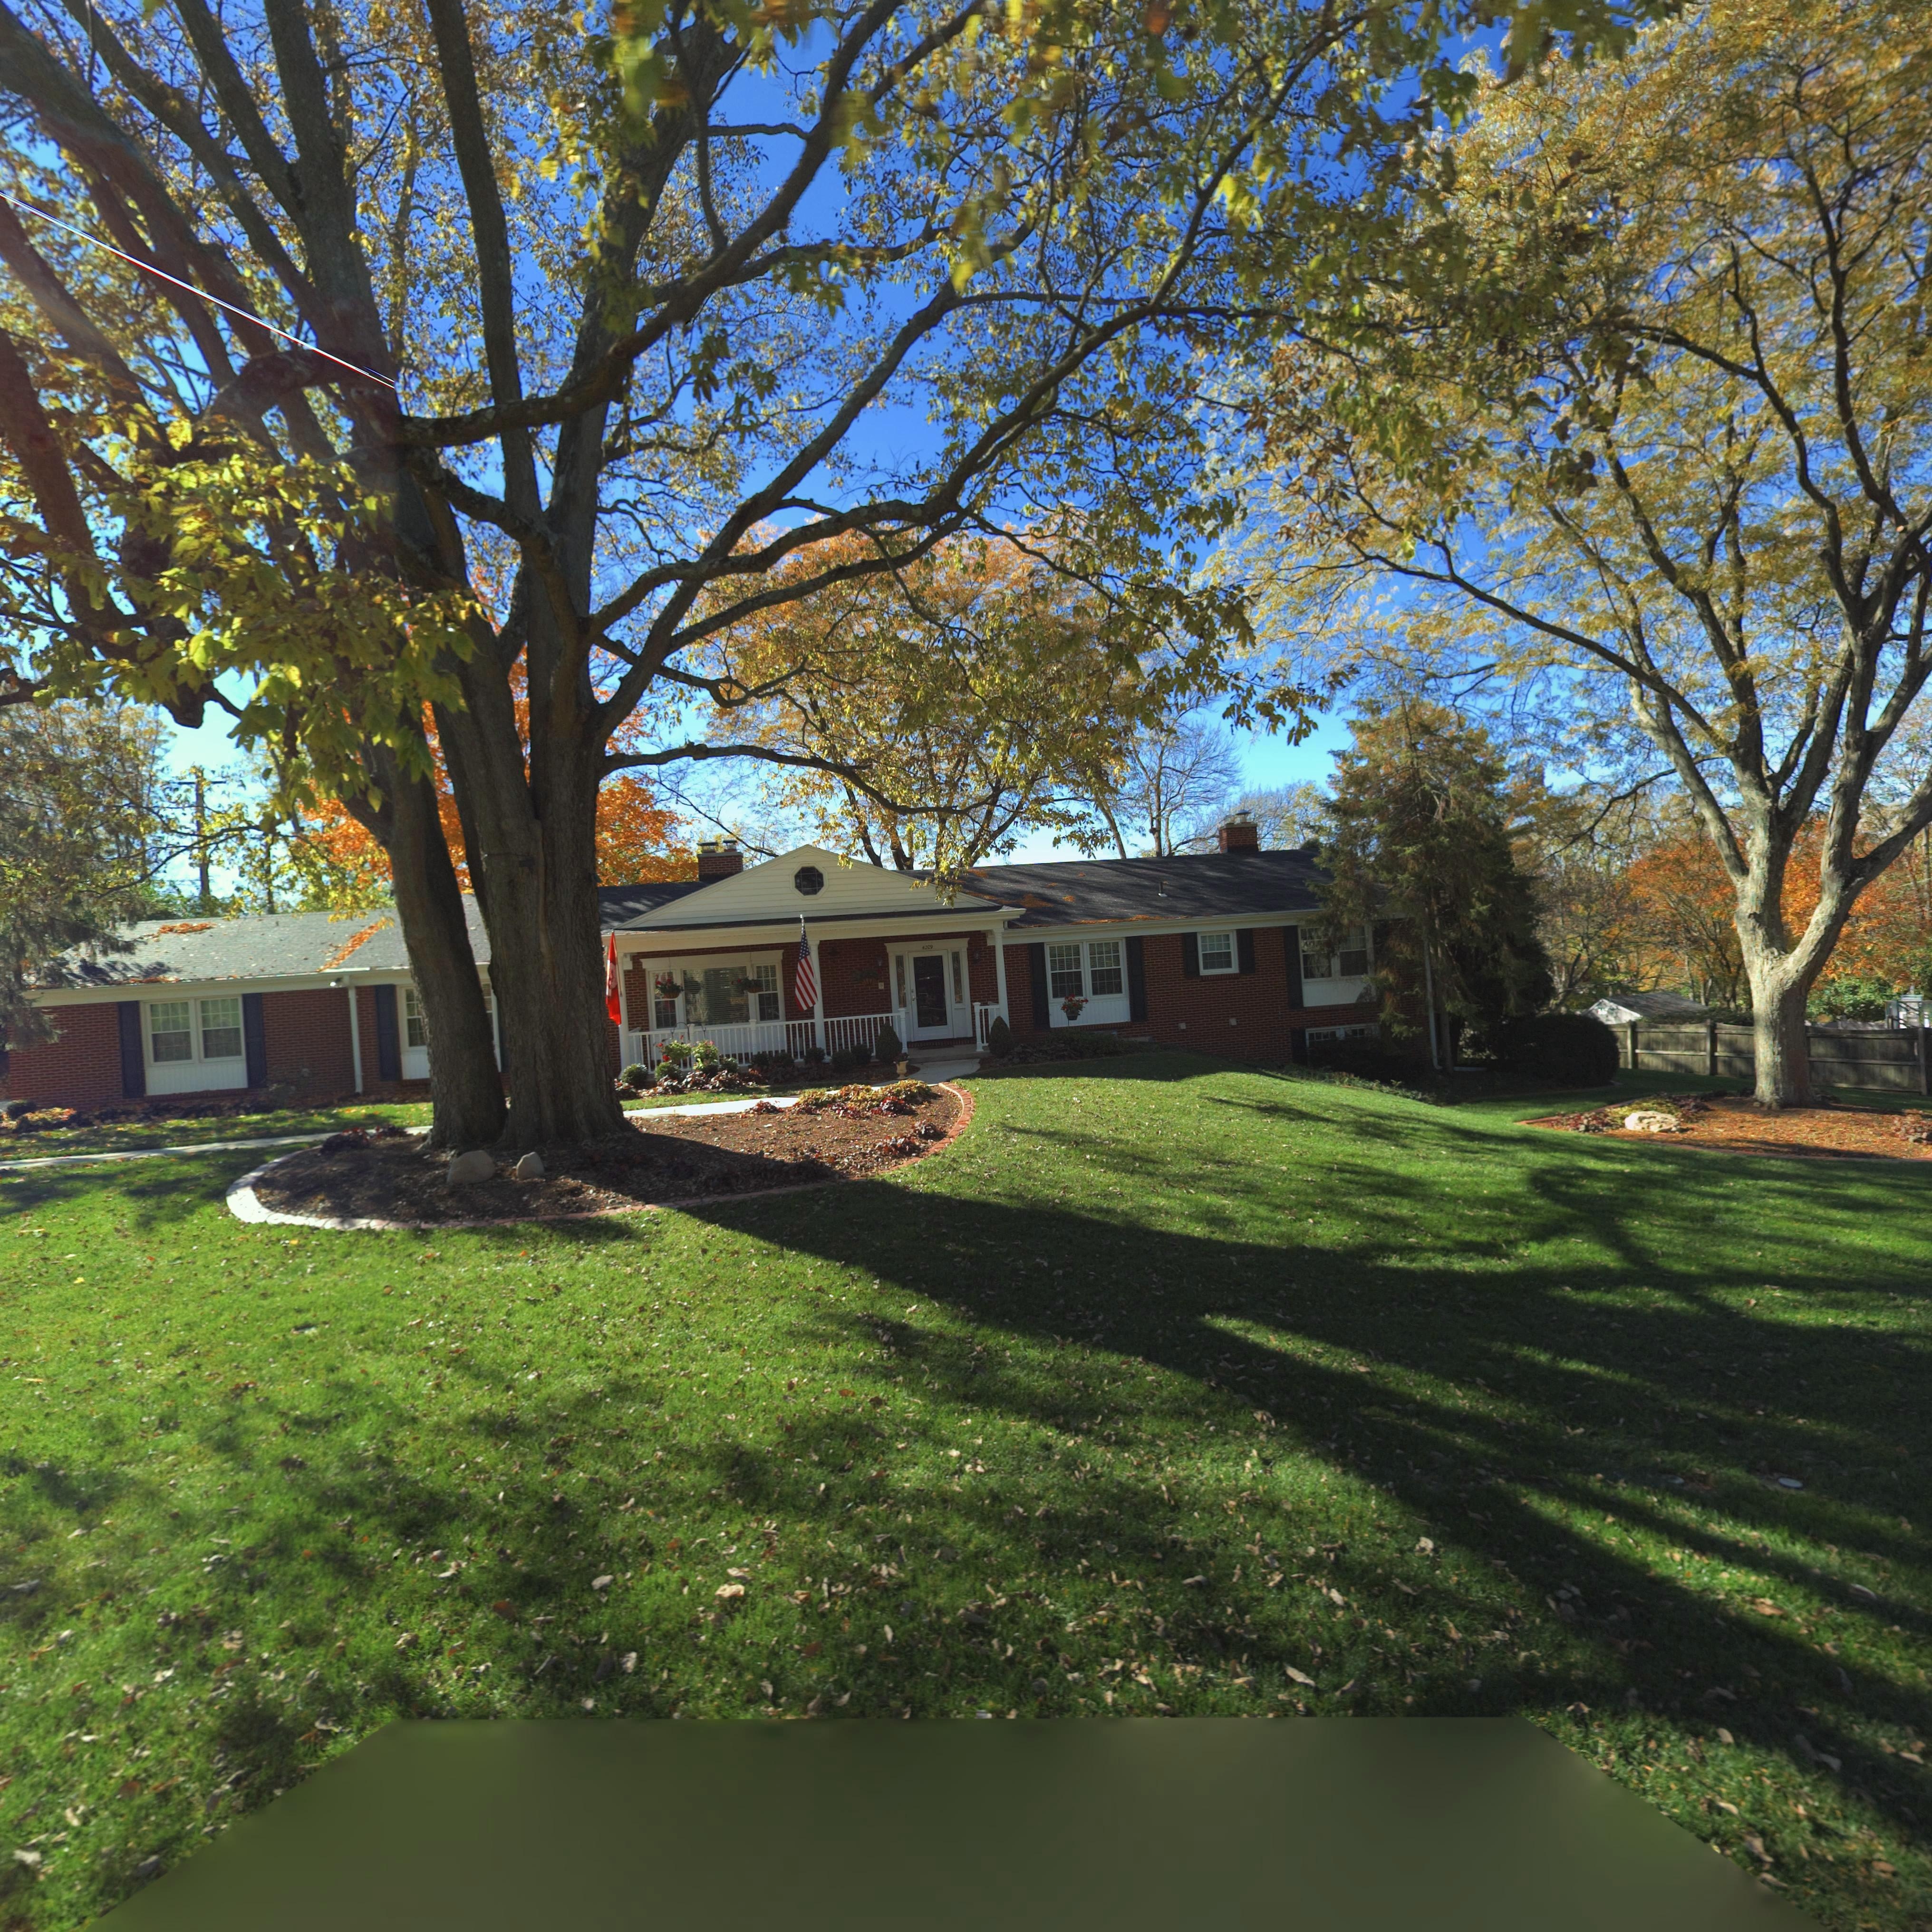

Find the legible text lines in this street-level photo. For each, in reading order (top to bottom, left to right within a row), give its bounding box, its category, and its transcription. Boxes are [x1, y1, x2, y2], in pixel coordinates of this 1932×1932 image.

[921, 944, 933, 950] StreetNumber: 4209